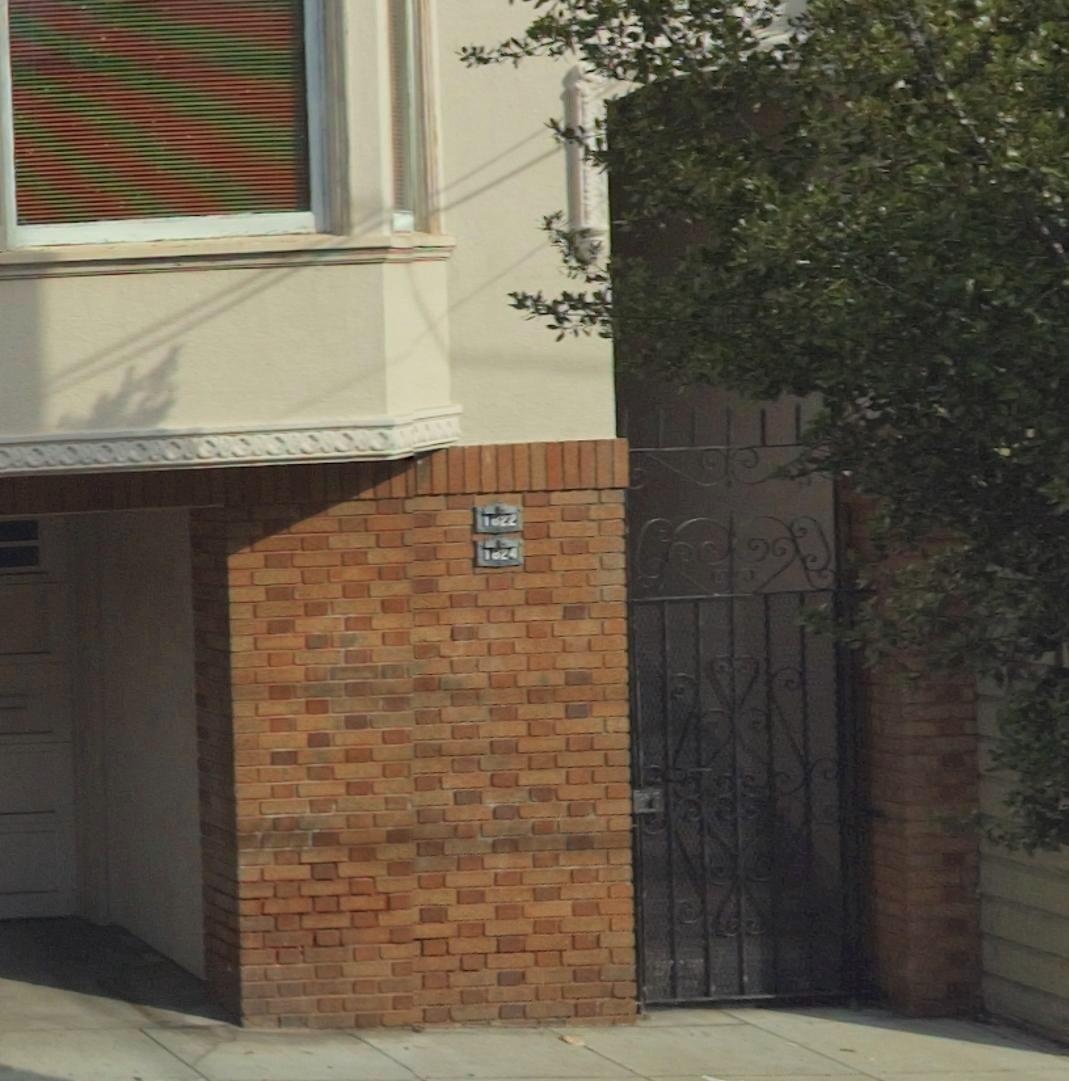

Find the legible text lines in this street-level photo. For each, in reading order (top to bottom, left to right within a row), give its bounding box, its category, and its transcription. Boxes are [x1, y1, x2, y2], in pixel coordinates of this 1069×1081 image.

[482, 513, 519, 528] StreetNumber: 1822
[482, 546, 519, 563] StreetNumber: 1824